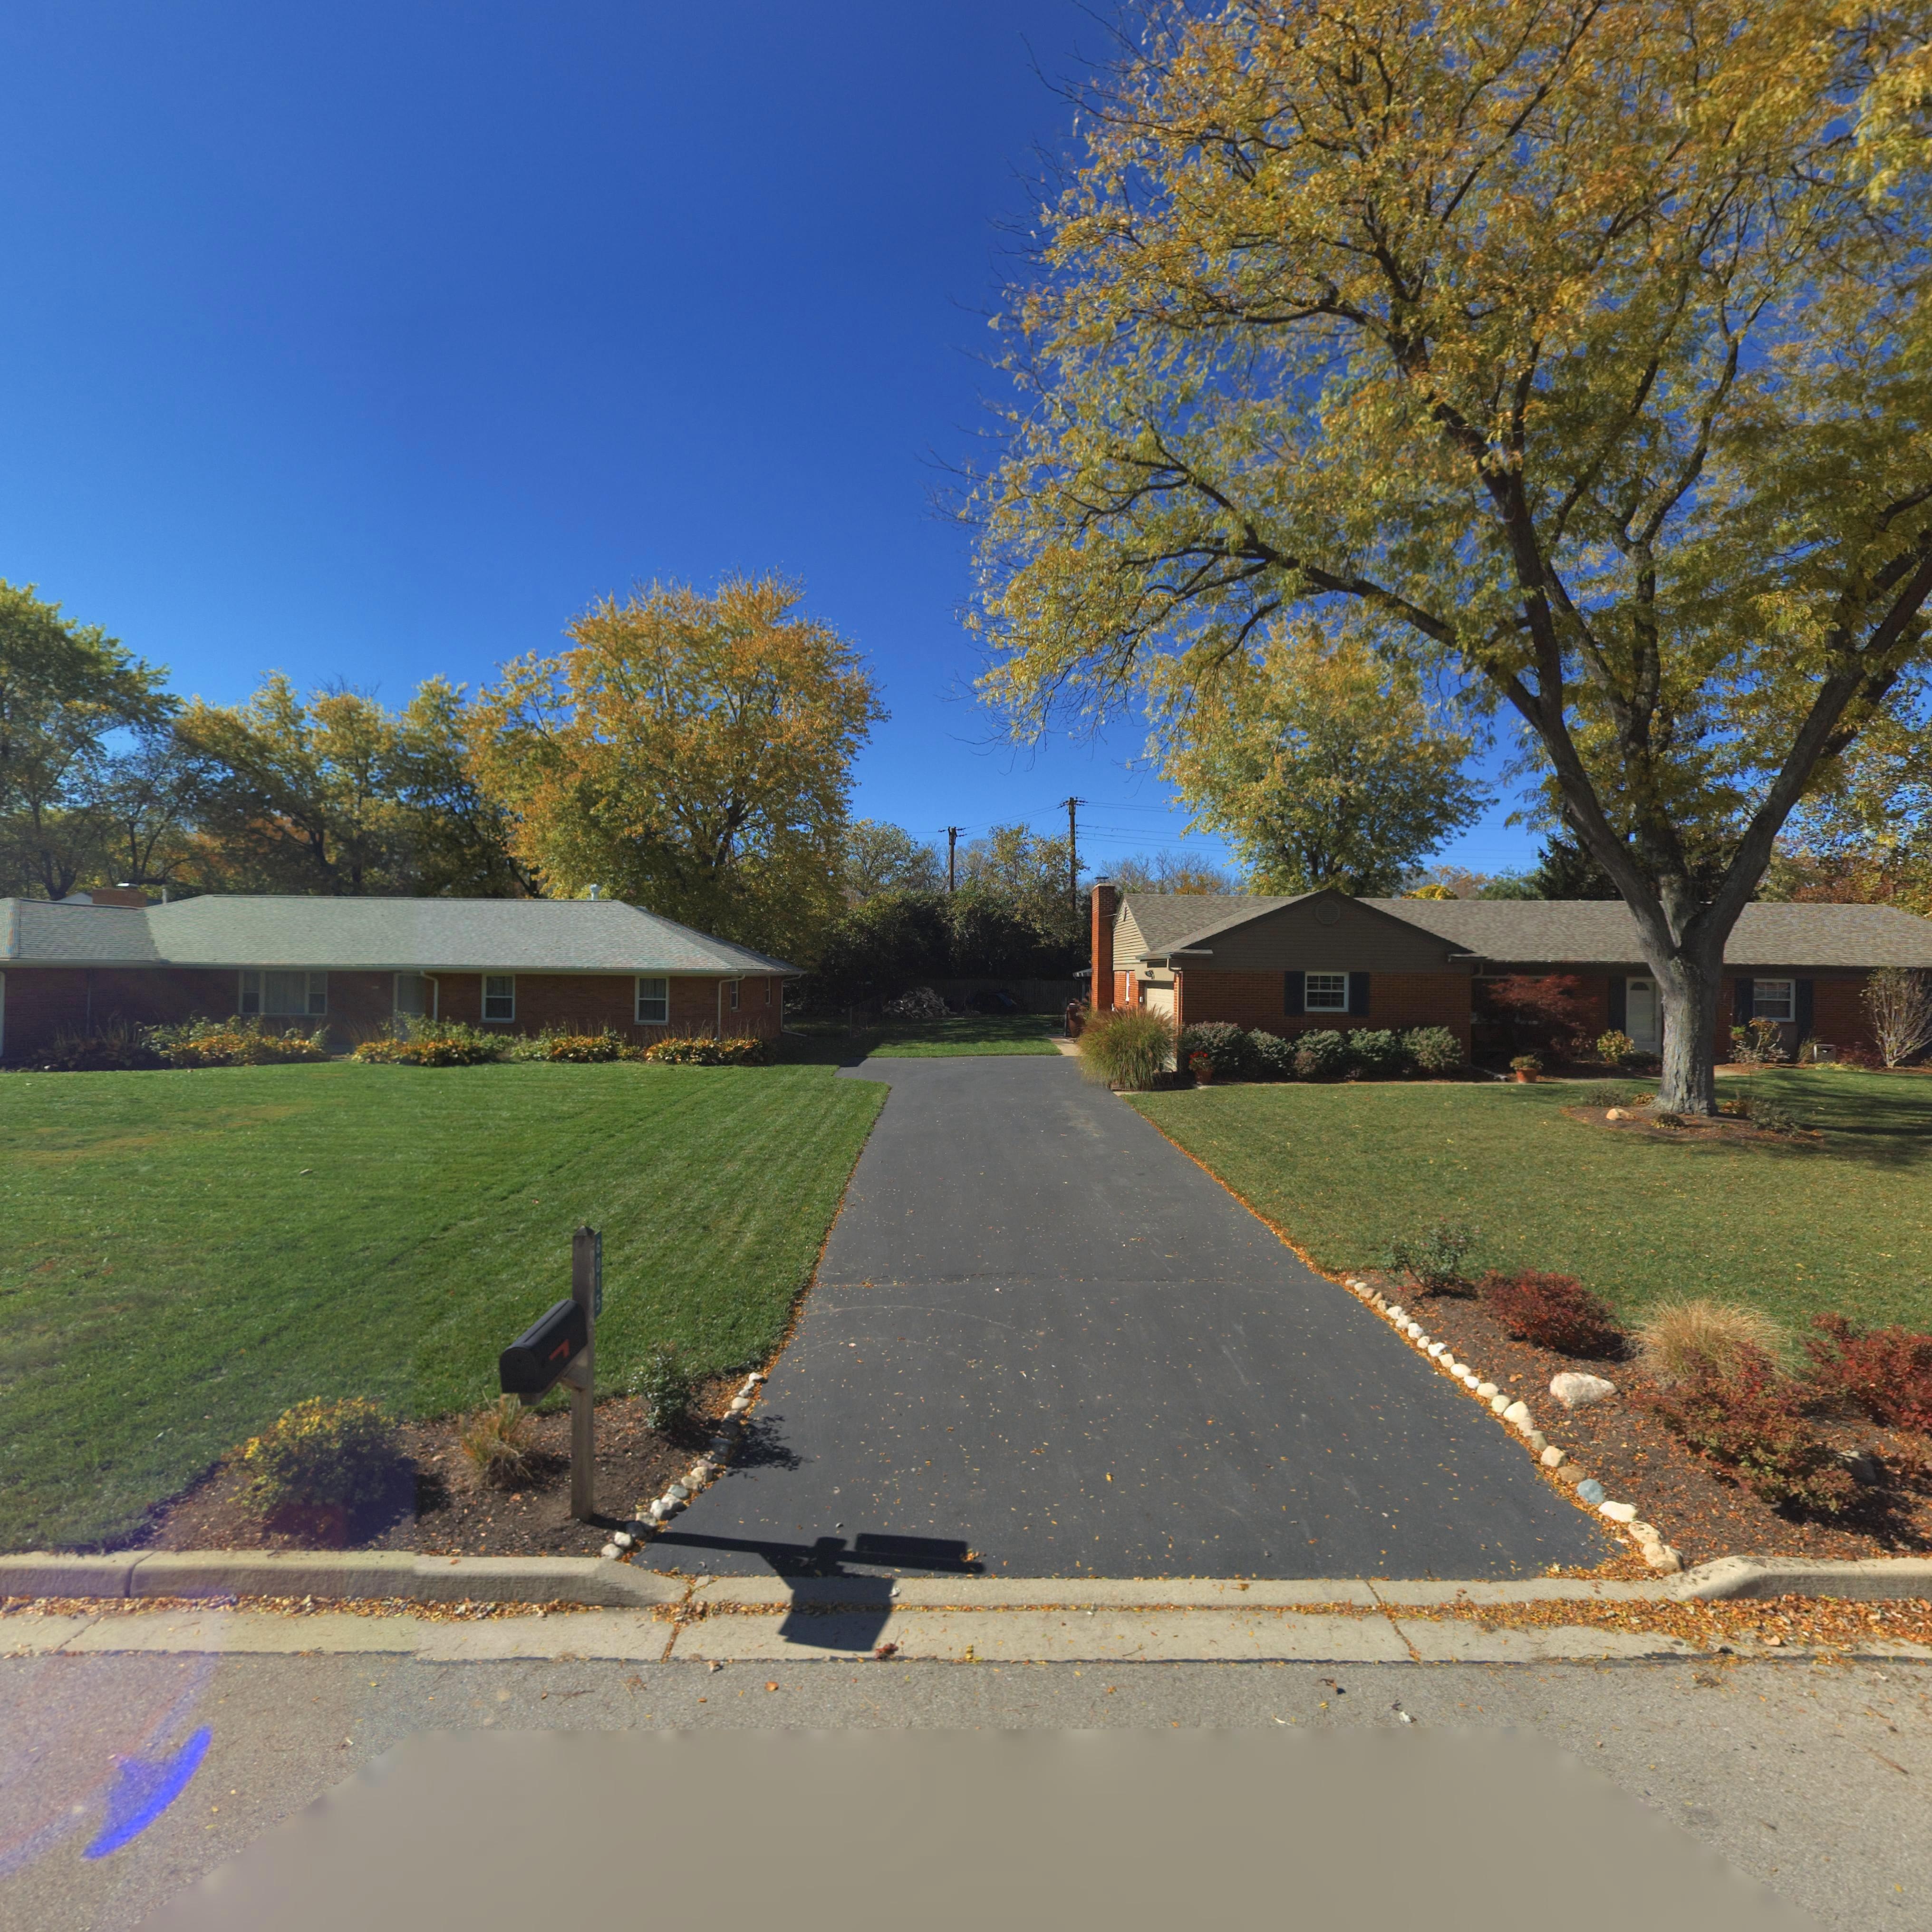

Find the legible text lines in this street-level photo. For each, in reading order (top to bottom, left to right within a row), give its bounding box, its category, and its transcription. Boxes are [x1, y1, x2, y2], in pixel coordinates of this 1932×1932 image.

[595, 1236, 602, 1313] StreetNumber: 6015